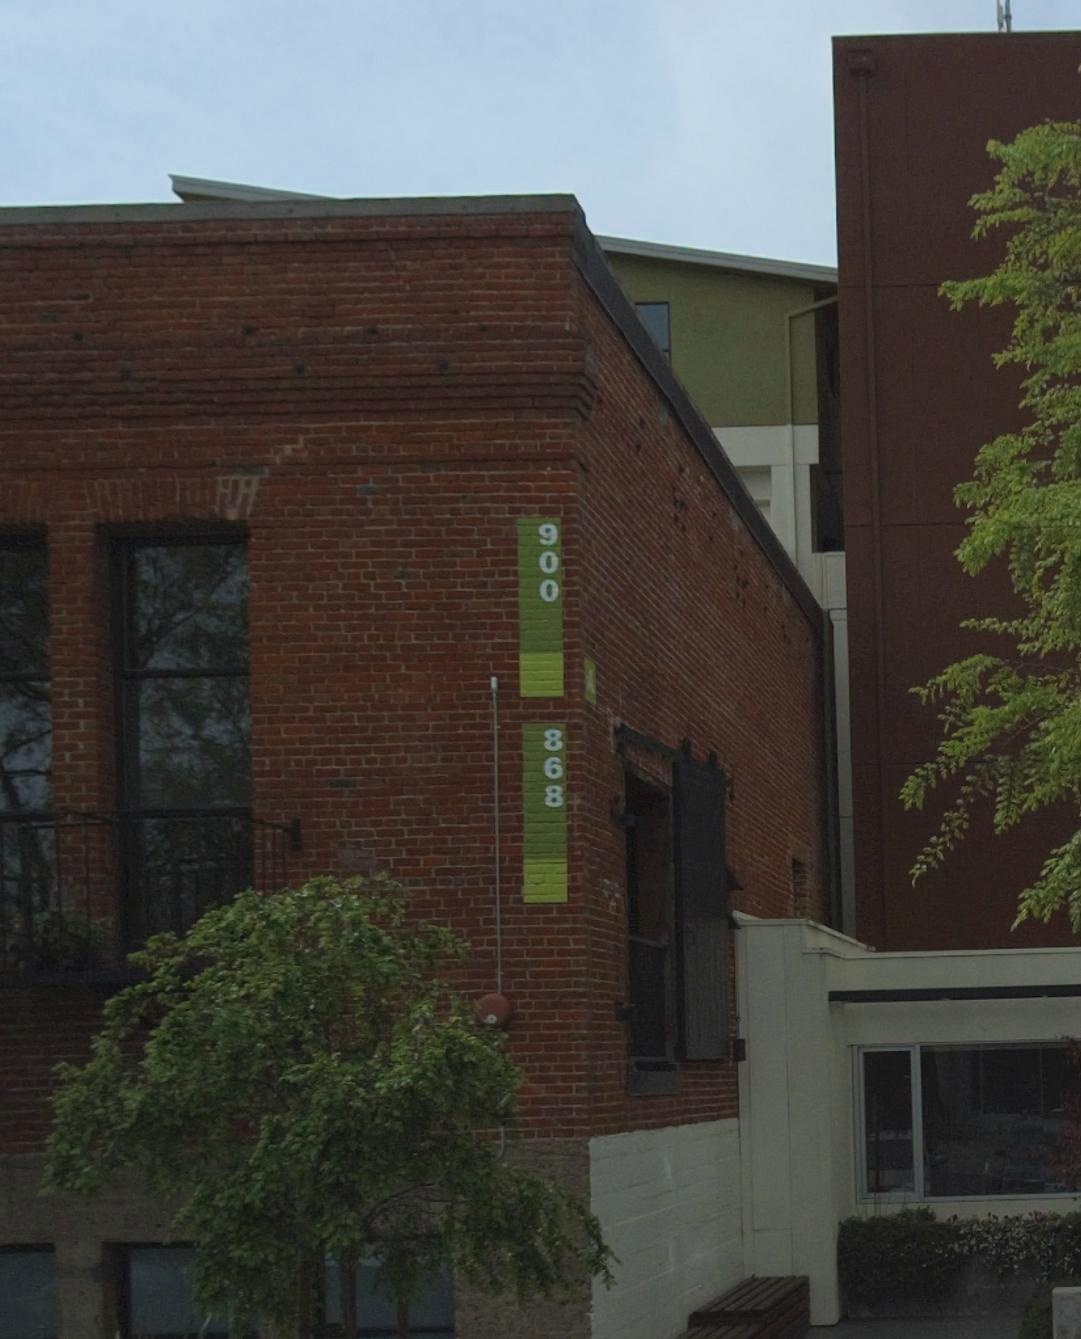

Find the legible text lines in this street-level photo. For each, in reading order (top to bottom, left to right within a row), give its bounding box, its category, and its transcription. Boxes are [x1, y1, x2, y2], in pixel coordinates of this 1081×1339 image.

[536, 521, 562, 604] StreetNumber: 900
[541, 726, 566, 811] StreetNumber: 868